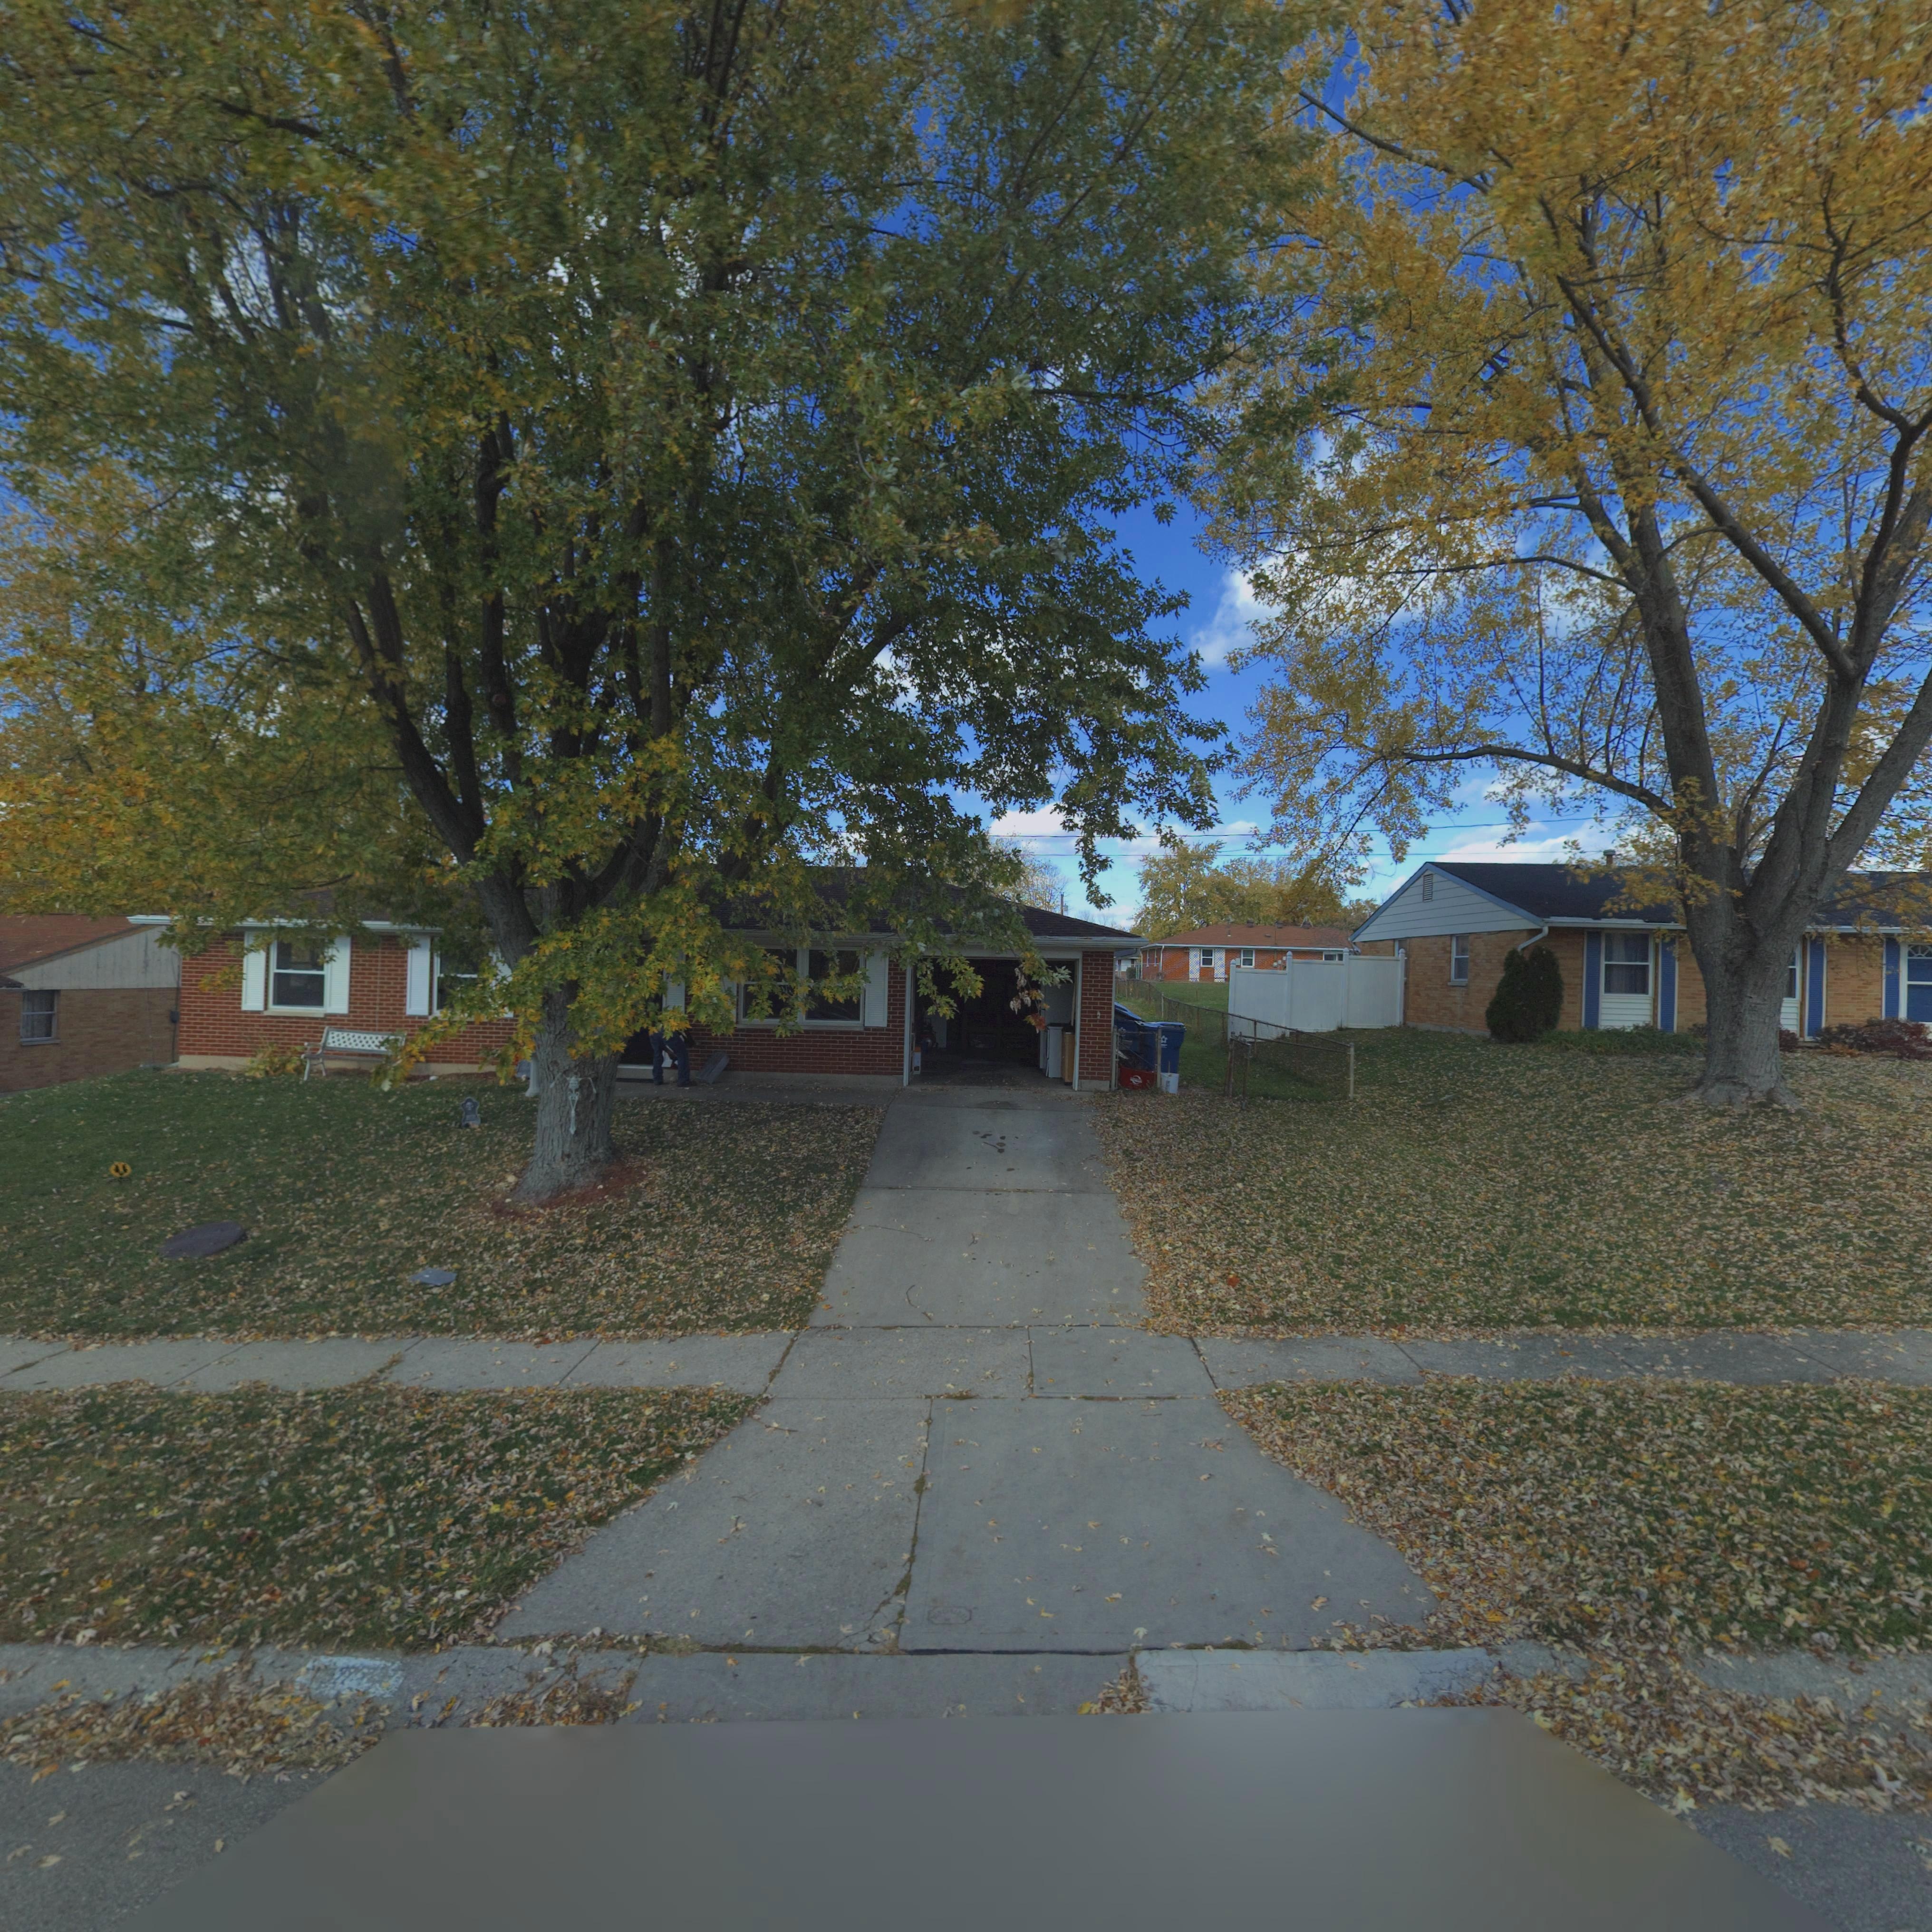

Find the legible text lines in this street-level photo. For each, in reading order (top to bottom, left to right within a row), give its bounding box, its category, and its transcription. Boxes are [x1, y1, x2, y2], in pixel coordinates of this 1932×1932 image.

[328, 1665, 361, 1686] StreetNumber: 77